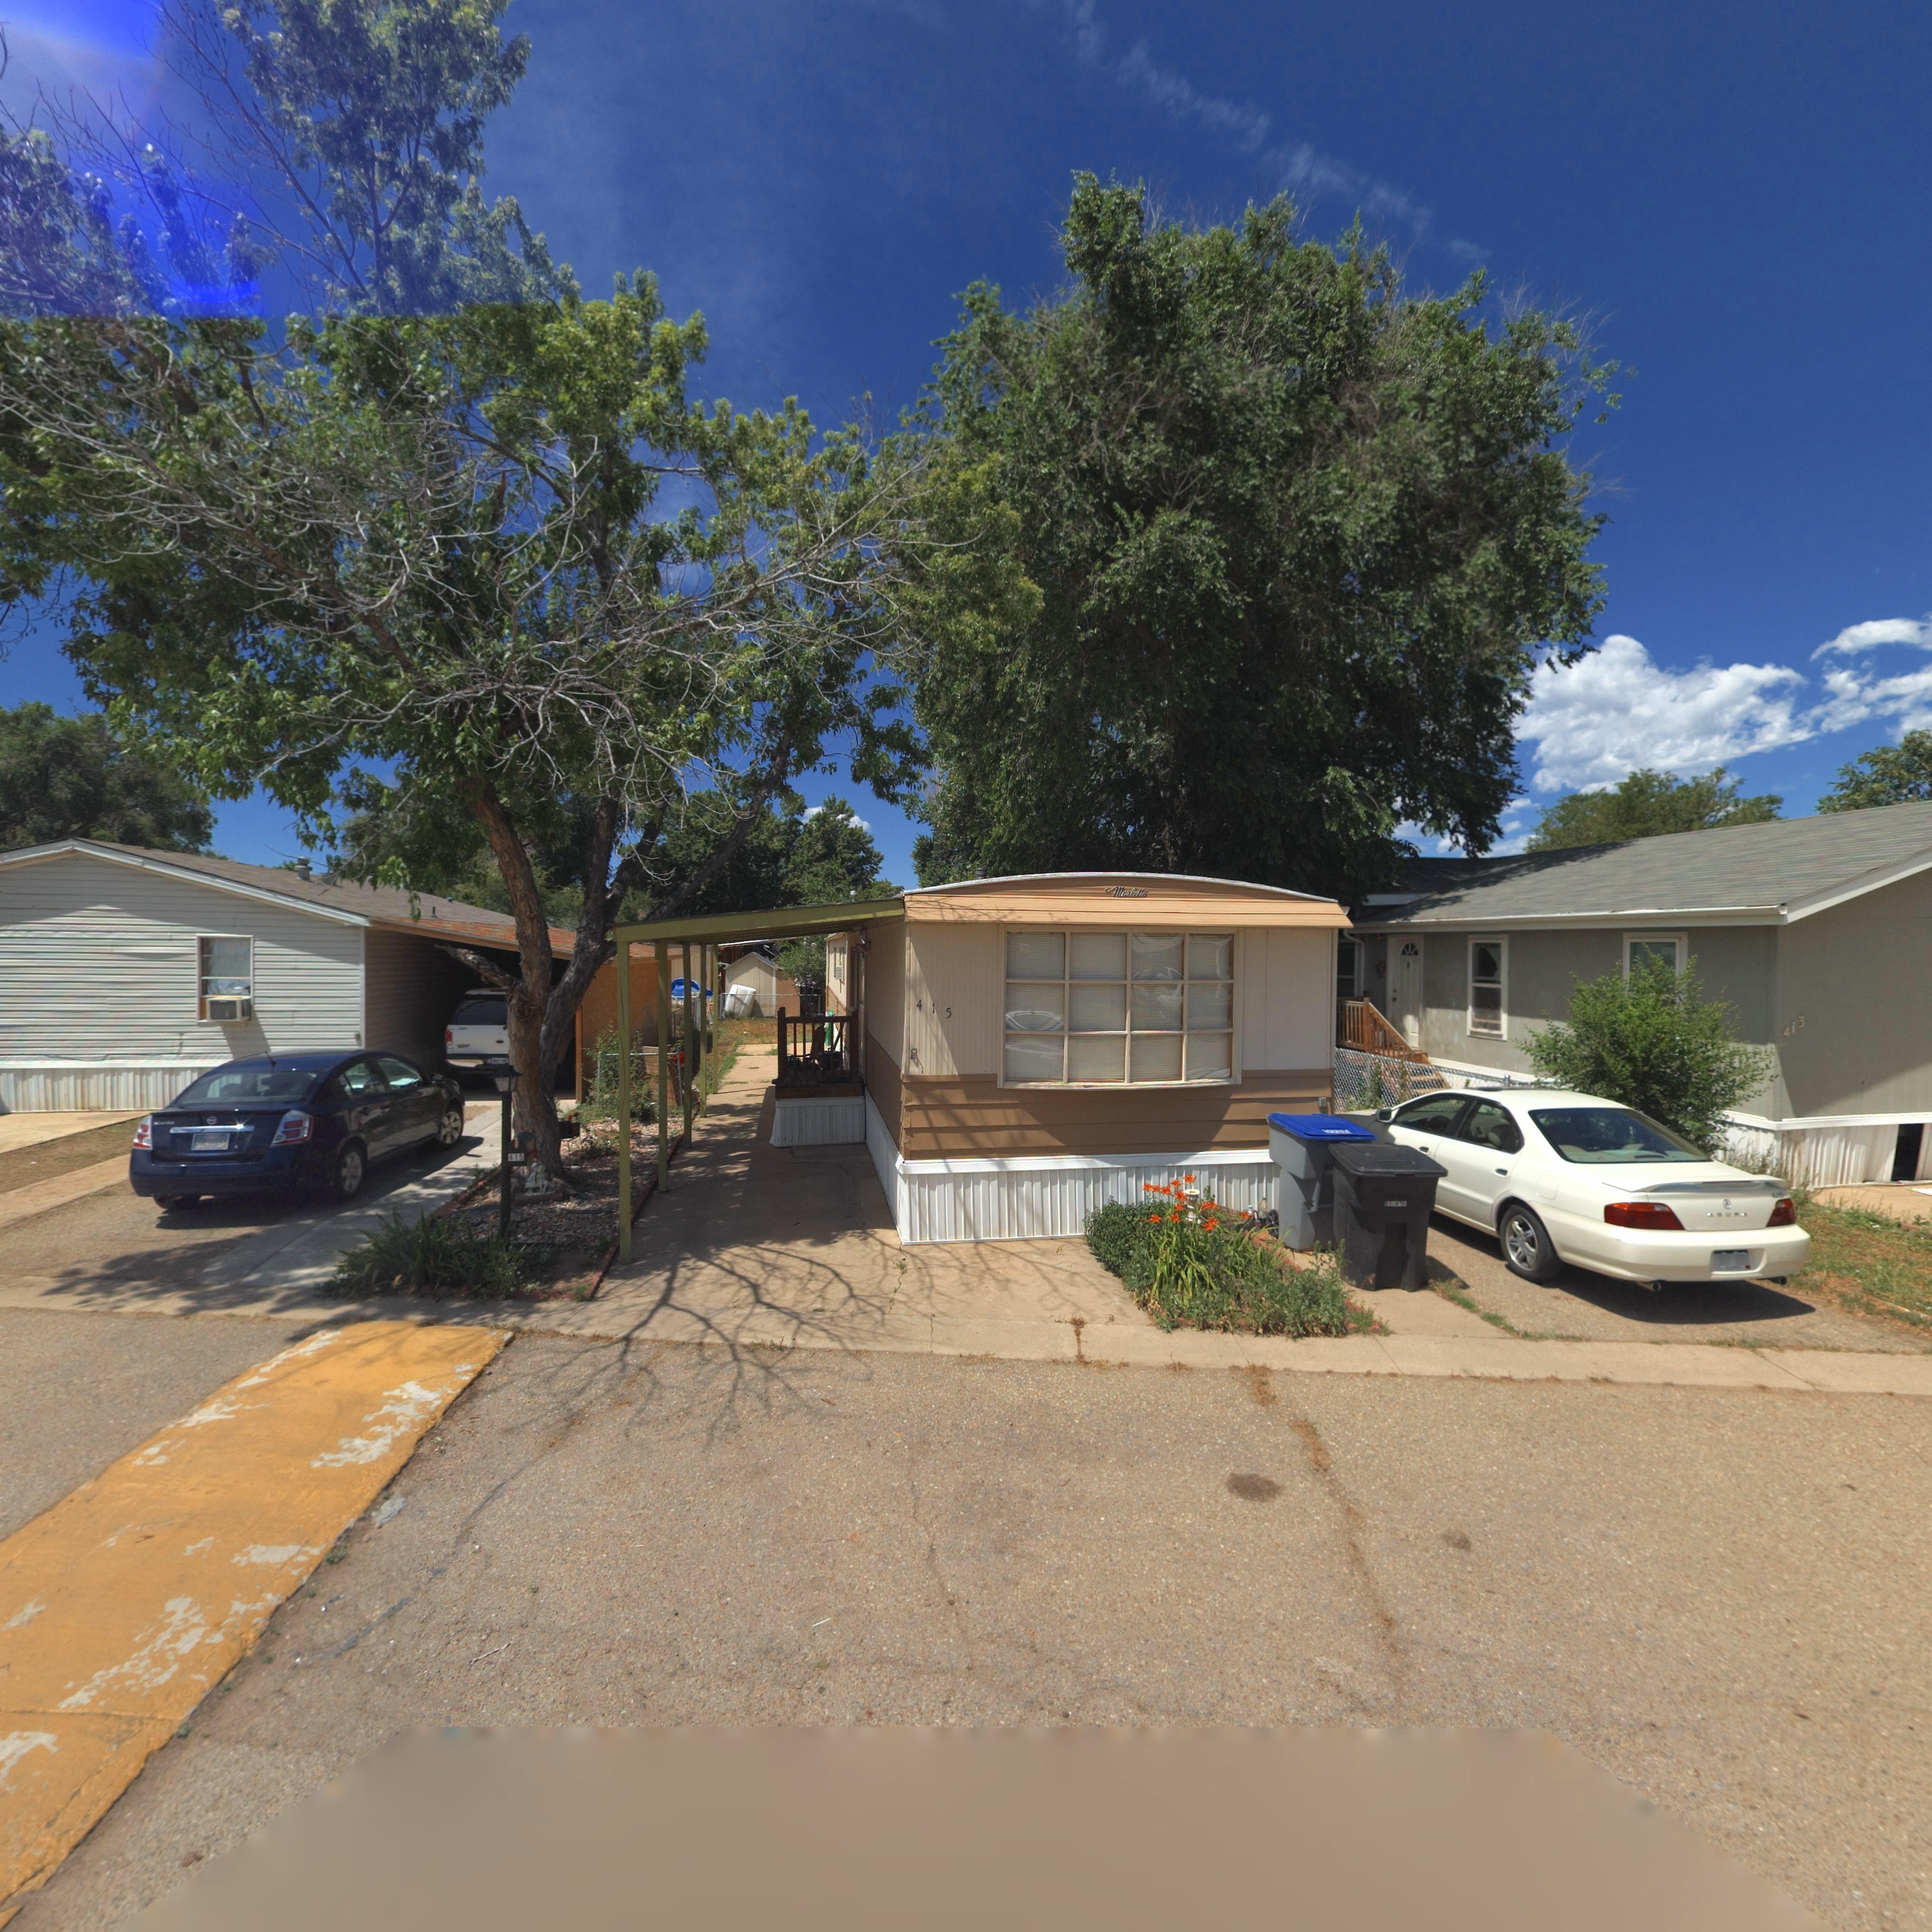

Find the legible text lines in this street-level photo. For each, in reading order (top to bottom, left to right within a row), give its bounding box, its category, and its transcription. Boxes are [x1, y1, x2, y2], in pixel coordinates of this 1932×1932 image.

[915, 998, 952, 1019] StreetNumber: 415
[1782, 1015, 1805, 1040] StreetNumber: 413
[508, 1153, 523, 1161] StreetNumber: 415